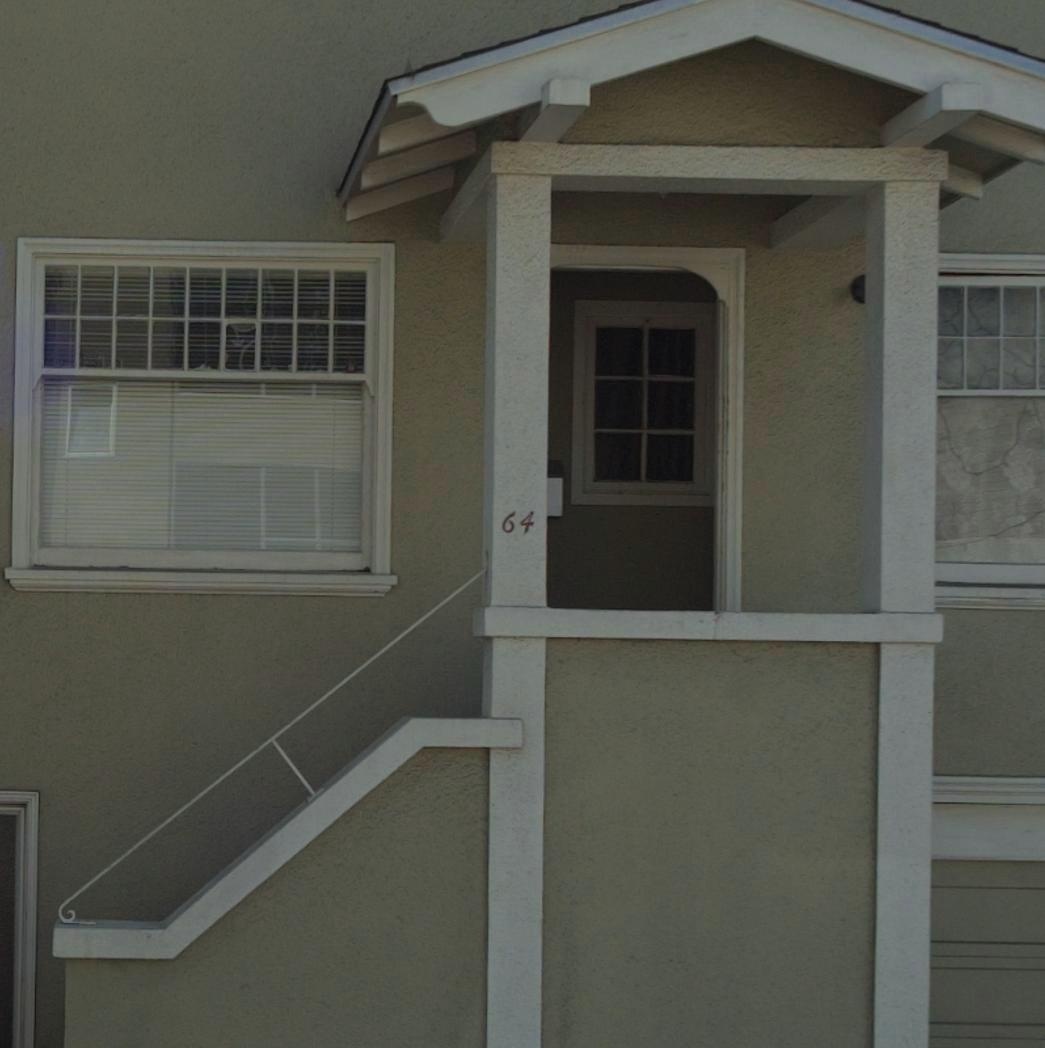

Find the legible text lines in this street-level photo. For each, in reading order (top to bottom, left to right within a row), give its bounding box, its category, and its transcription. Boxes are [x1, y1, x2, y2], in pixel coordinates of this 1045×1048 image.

[499, 509, 538, 537] StreetNumber: 64